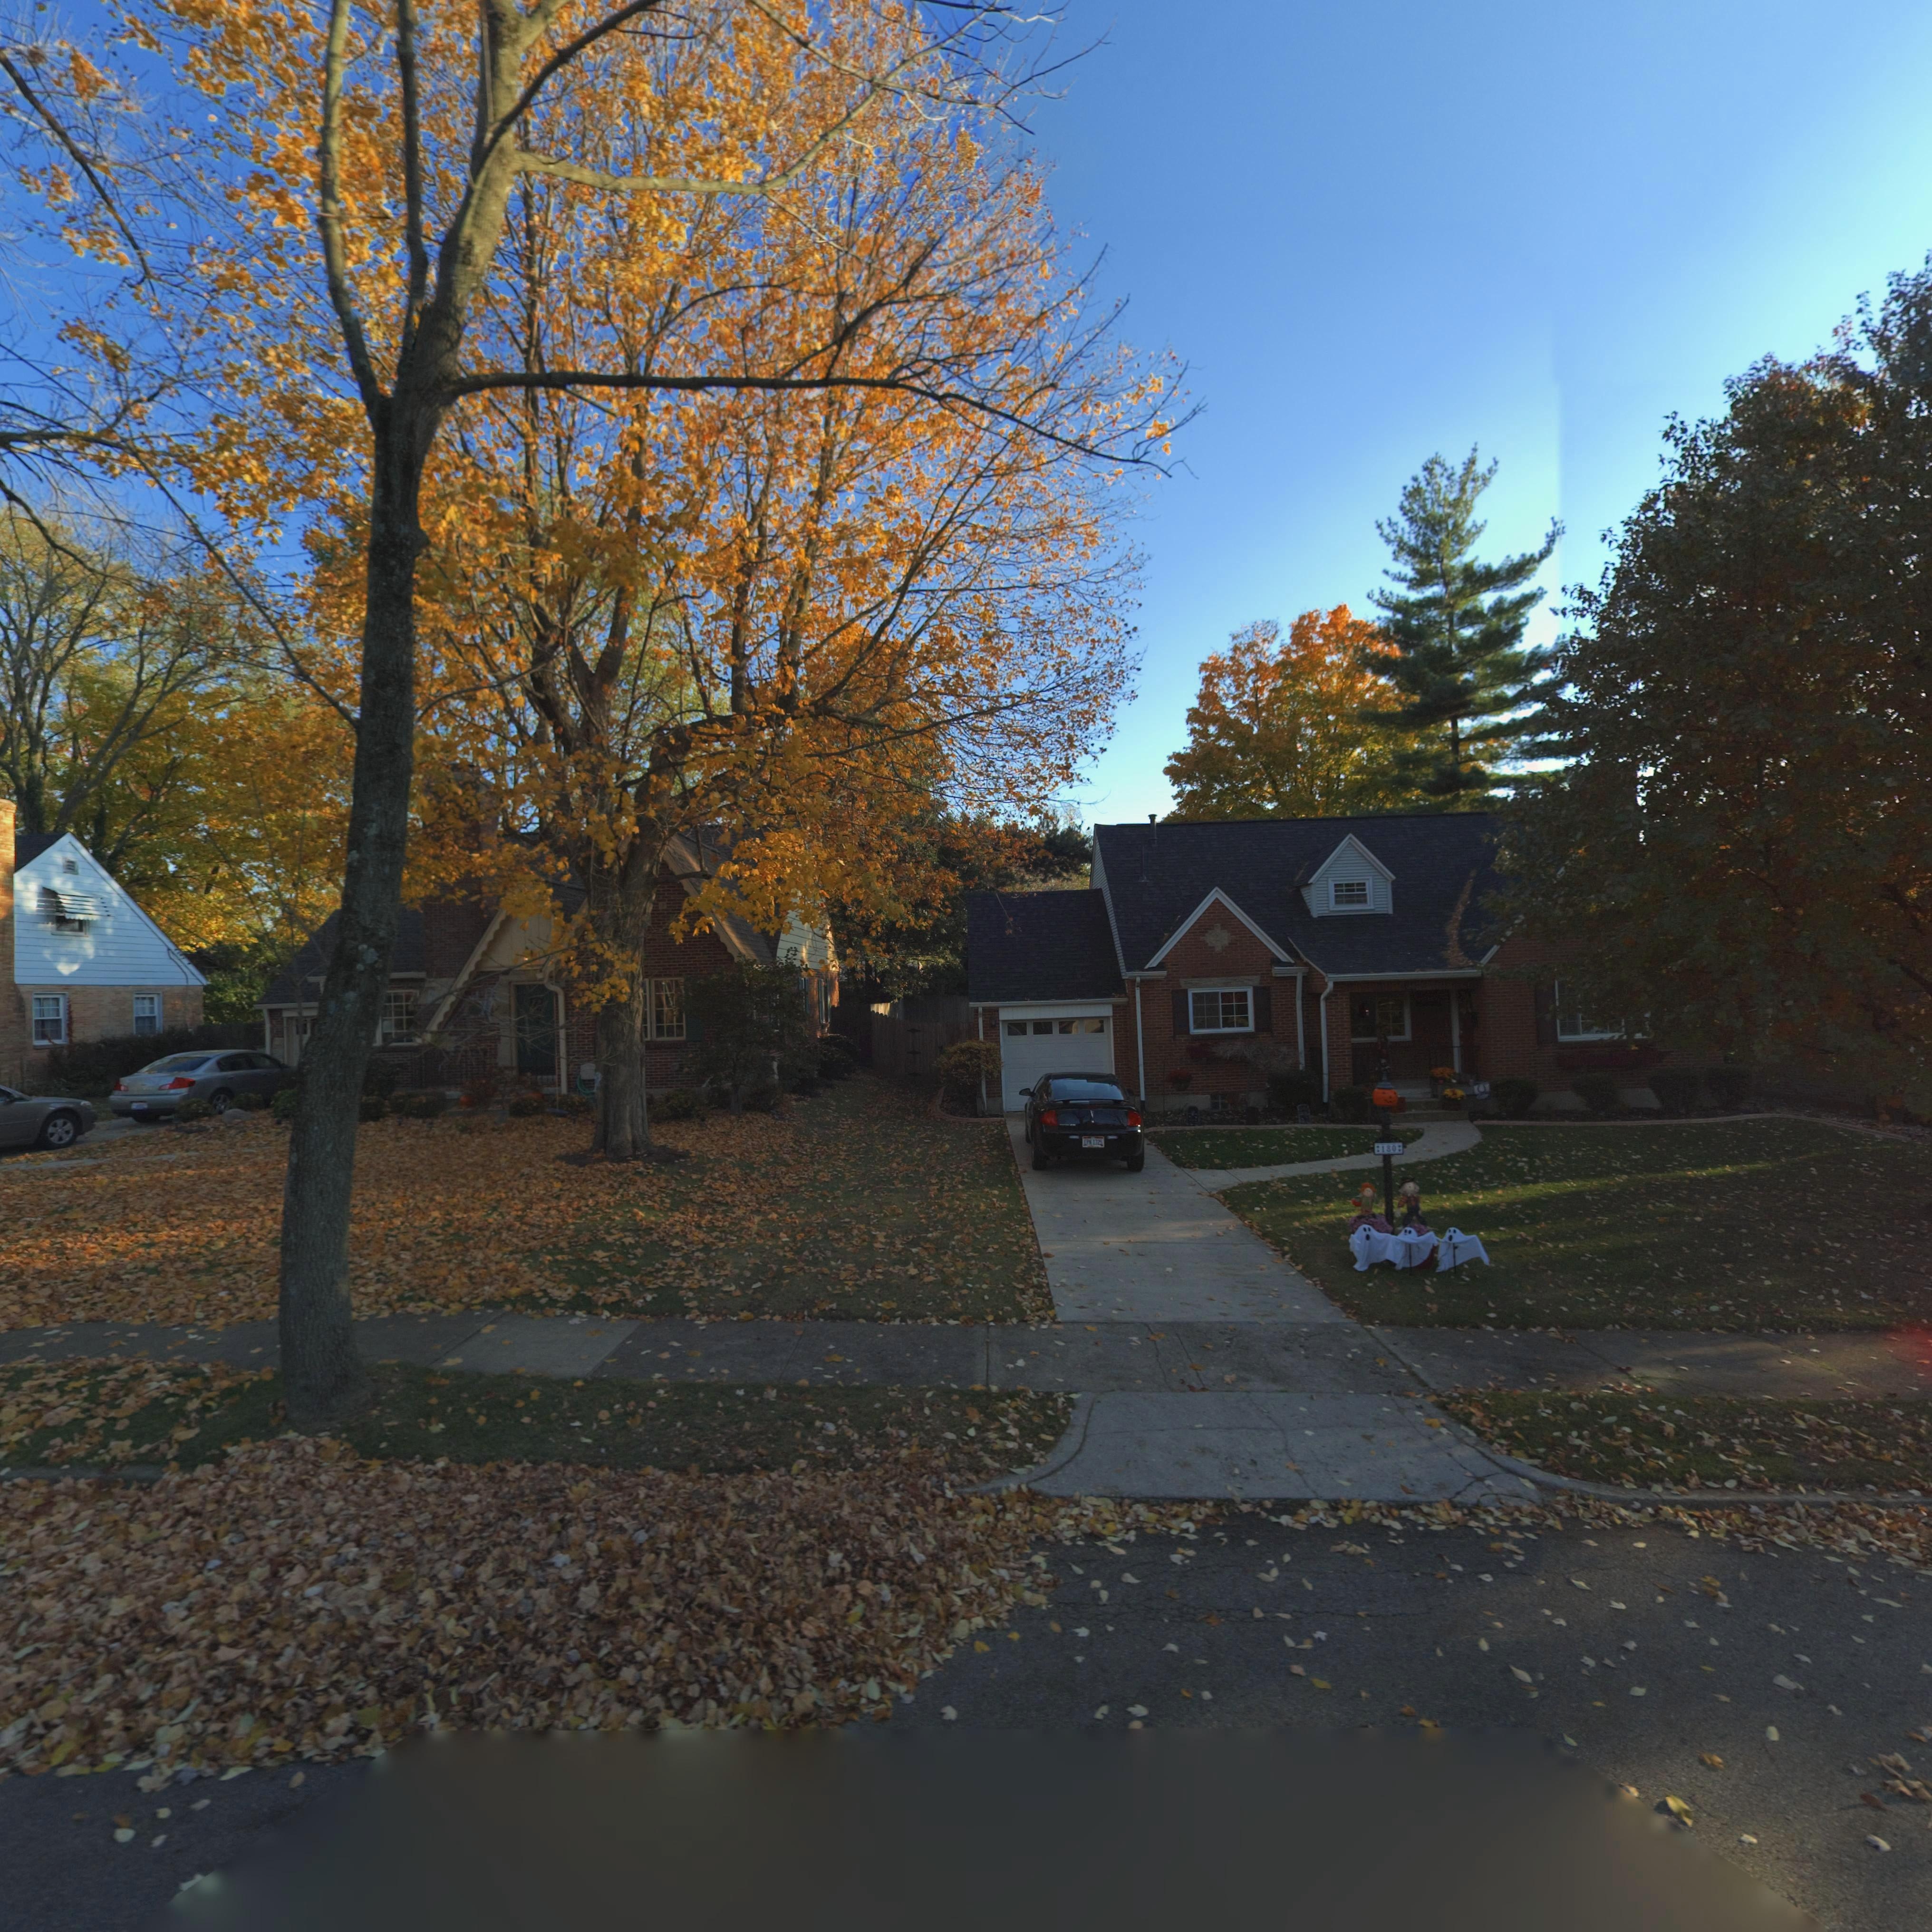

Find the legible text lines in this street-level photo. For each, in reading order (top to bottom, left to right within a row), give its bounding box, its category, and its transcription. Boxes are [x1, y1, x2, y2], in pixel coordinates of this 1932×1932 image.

[1083, 1139, 1103, 1146] None: \
[1381, 1144, 1397, 1153] StreetNumber: 180